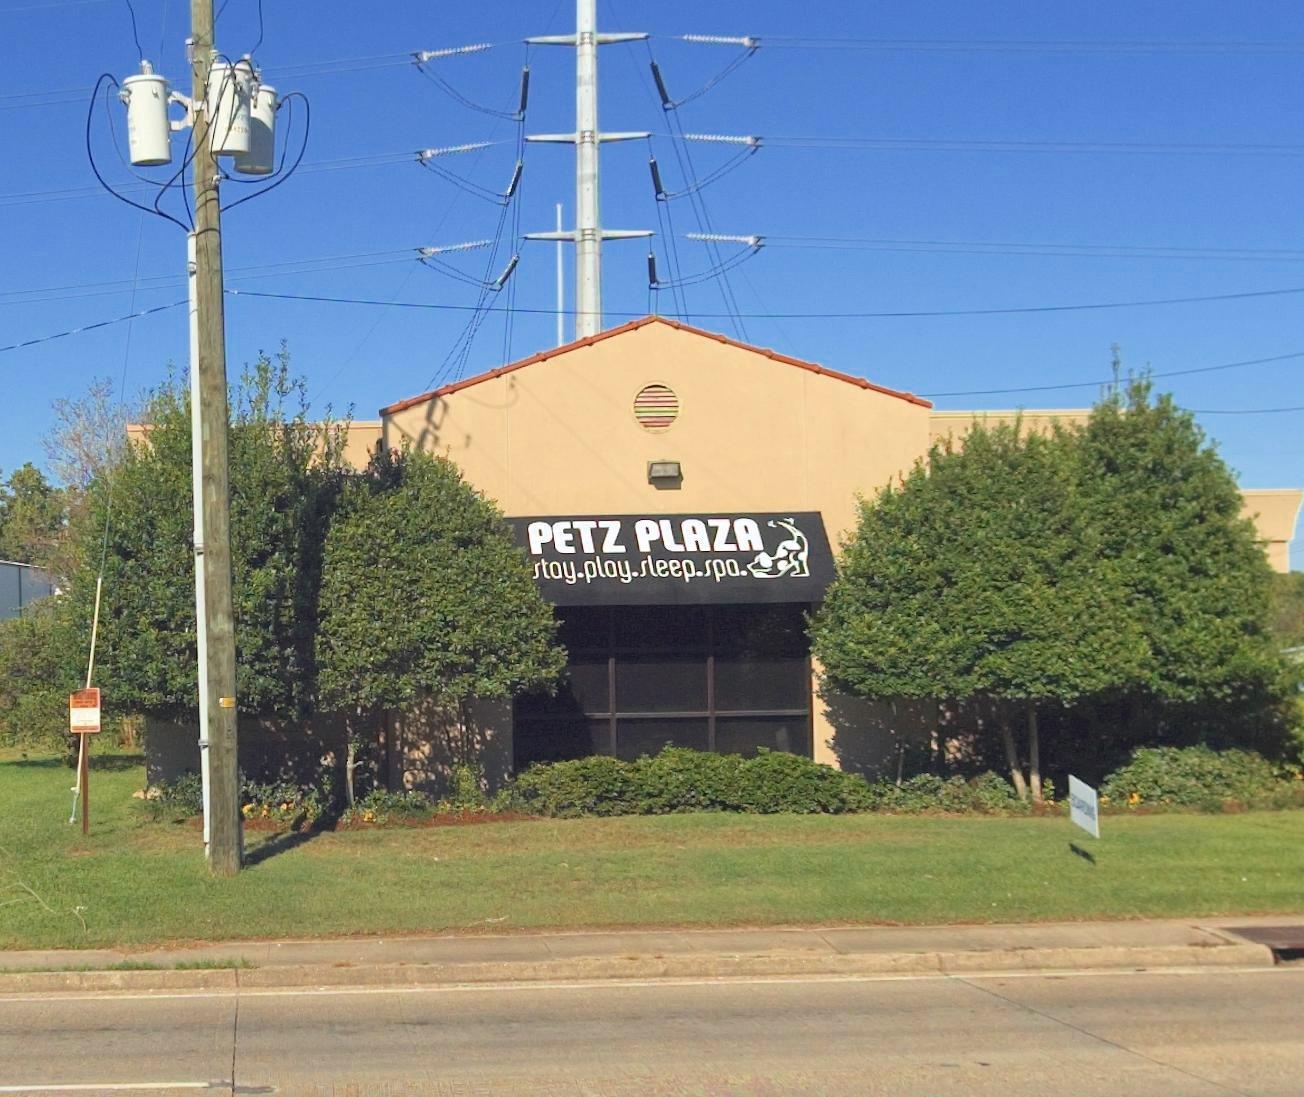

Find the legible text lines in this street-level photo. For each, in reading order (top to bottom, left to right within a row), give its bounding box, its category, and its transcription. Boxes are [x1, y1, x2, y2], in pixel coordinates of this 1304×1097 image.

[524, 516, 767, 557] BusinessName: PETZ PLAZA
[529, 553, 749, 586] None: stay.play.sleep.spa.